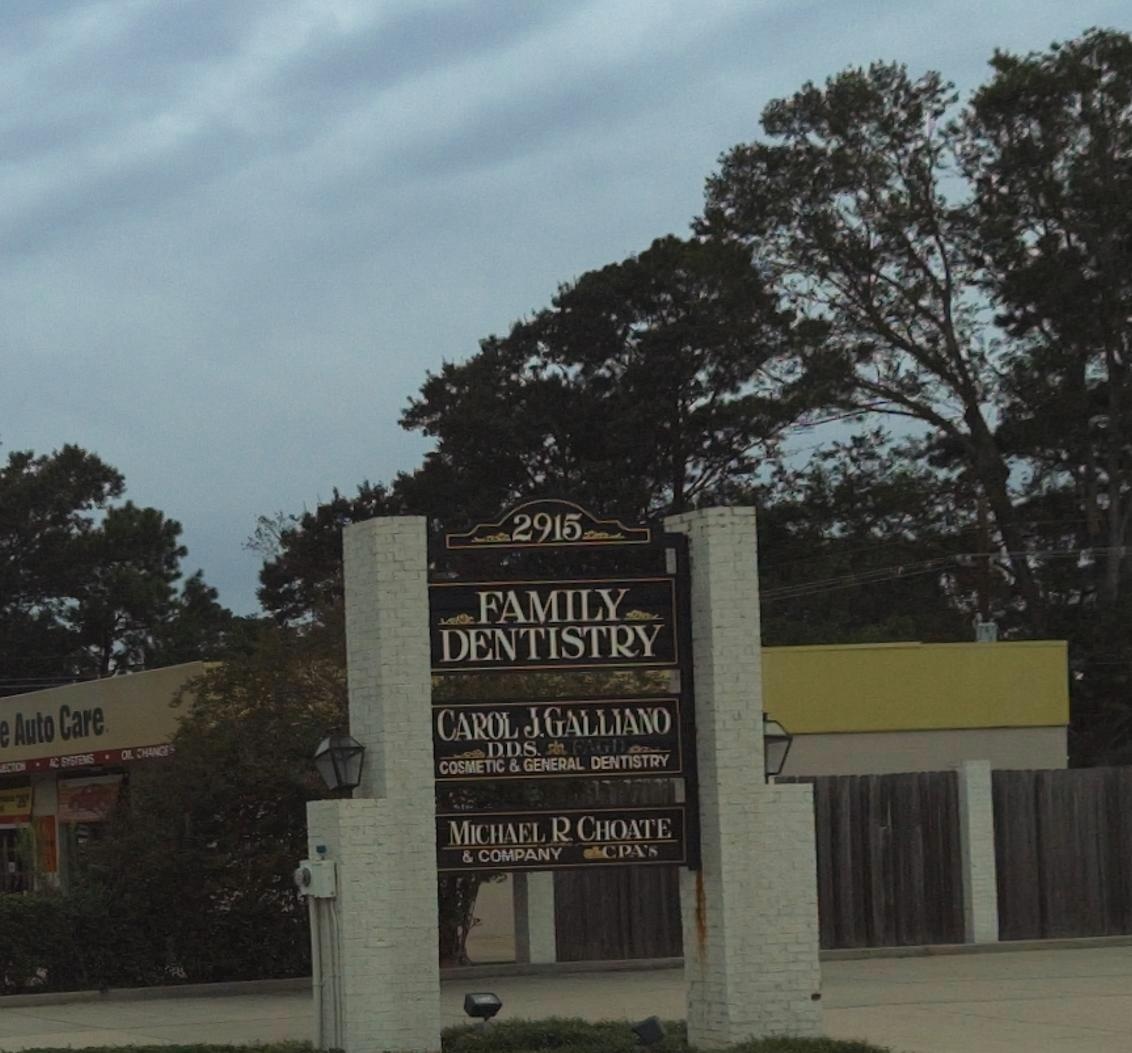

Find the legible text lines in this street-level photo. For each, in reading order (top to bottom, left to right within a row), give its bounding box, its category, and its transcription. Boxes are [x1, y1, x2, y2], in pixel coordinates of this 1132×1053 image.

[512, 512, 583, 543] StreetNumber: 2915
[473, 587, 632, 624] BusinessName: FAMILY
[438, 623, 666, 664] BusinessName: DENTISTRY
[0, 702, 104, 750] BusinessName: e Auto Care
[436, 705, 672, 742] None: CAROL J.GALLIANO
[0, 761, 27, 774] None: ACTION
[49, 753, 95, 769] None: AC SYSTEMS
[120, 744, 175, 761] None: OIL CHANGES
[484, 740, 543, 759] None: D.D.S.
[438, 753, 671, 776] None: COSMETIC & GENERAL DENTISTRY
[446, 815, 672, 847] None: MICHAEL R. CHOATE
[461, 846, 564, 864] None: & COMPANY
[602, 844, 659, 859] None: CPA'S